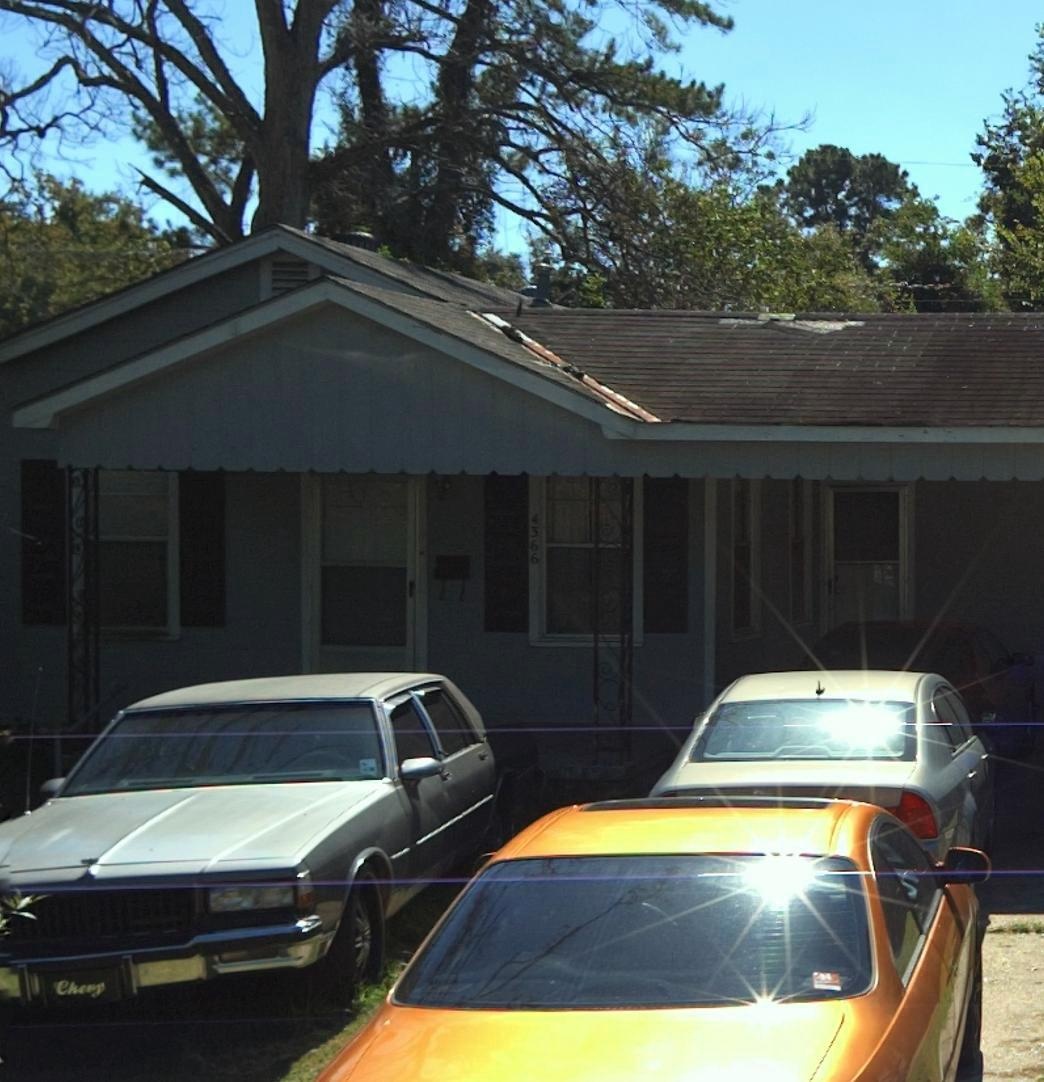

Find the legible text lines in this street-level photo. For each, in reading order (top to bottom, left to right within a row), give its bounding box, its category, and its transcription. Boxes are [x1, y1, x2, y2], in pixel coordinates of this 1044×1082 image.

[529, 512, 540, 565] StreetNumber: 4566
[53, 978, 108, 1000] None: Chevy